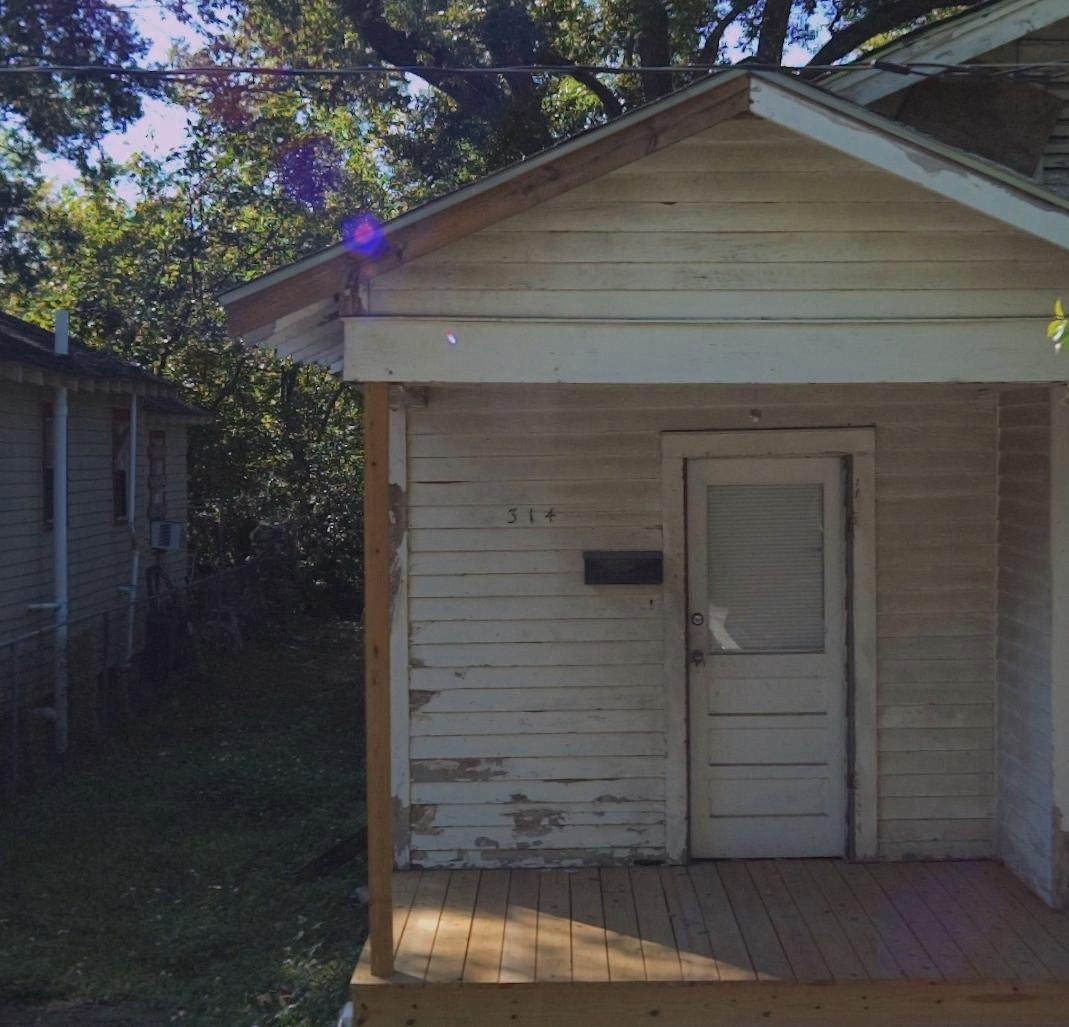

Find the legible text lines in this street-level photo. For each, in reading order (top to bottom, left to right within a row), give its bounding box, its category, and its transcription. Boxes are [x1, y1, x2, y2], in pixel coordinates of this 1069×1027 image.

[505, 504, 558, 527] StreetNumber: 314